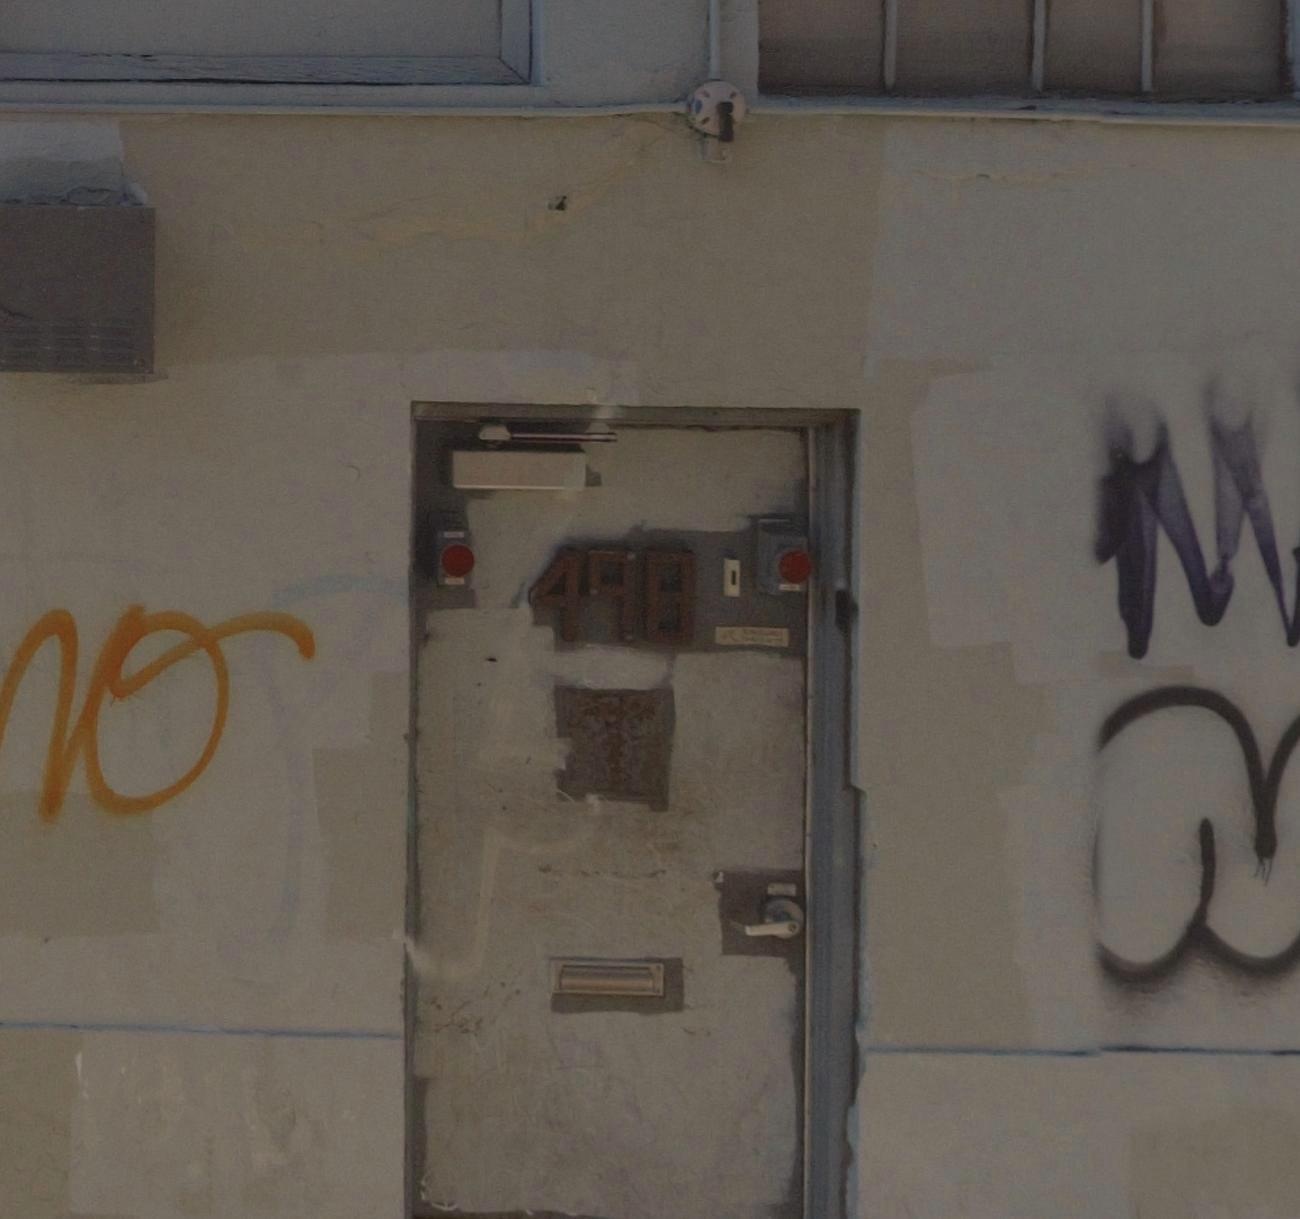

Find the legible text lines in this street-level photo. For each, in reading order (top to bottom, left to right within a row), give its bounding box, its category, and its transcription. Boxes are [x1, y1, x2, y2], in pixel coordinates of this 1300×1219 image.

[525, 544, 699, 645] StreetNumber: 498